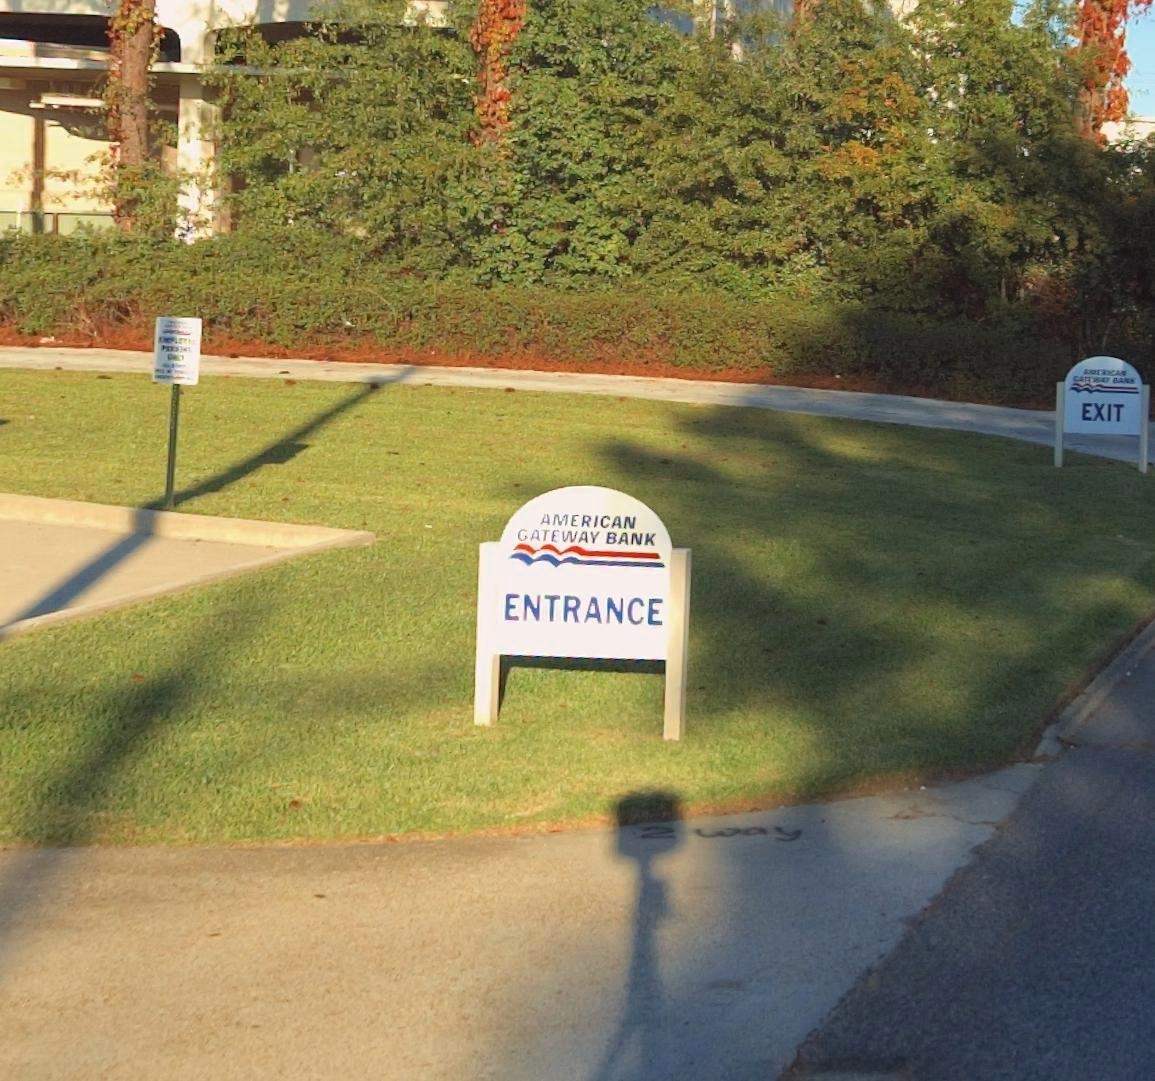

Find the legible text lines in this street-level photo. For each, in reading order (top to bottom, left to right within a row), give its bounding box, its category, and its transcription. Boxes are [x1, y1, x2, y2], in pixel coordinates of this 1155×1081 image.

[1081, 402, 1125, 423] None: EXIT
[539, 512, 637, 530] BusinessName: AMERICAN
[516, 527, 658, 547] BusinessName: GATEWAY BANK
[504, 592, 664, 627] None: ENTRANCE
[640, 824, 803, 845] None: 2 way